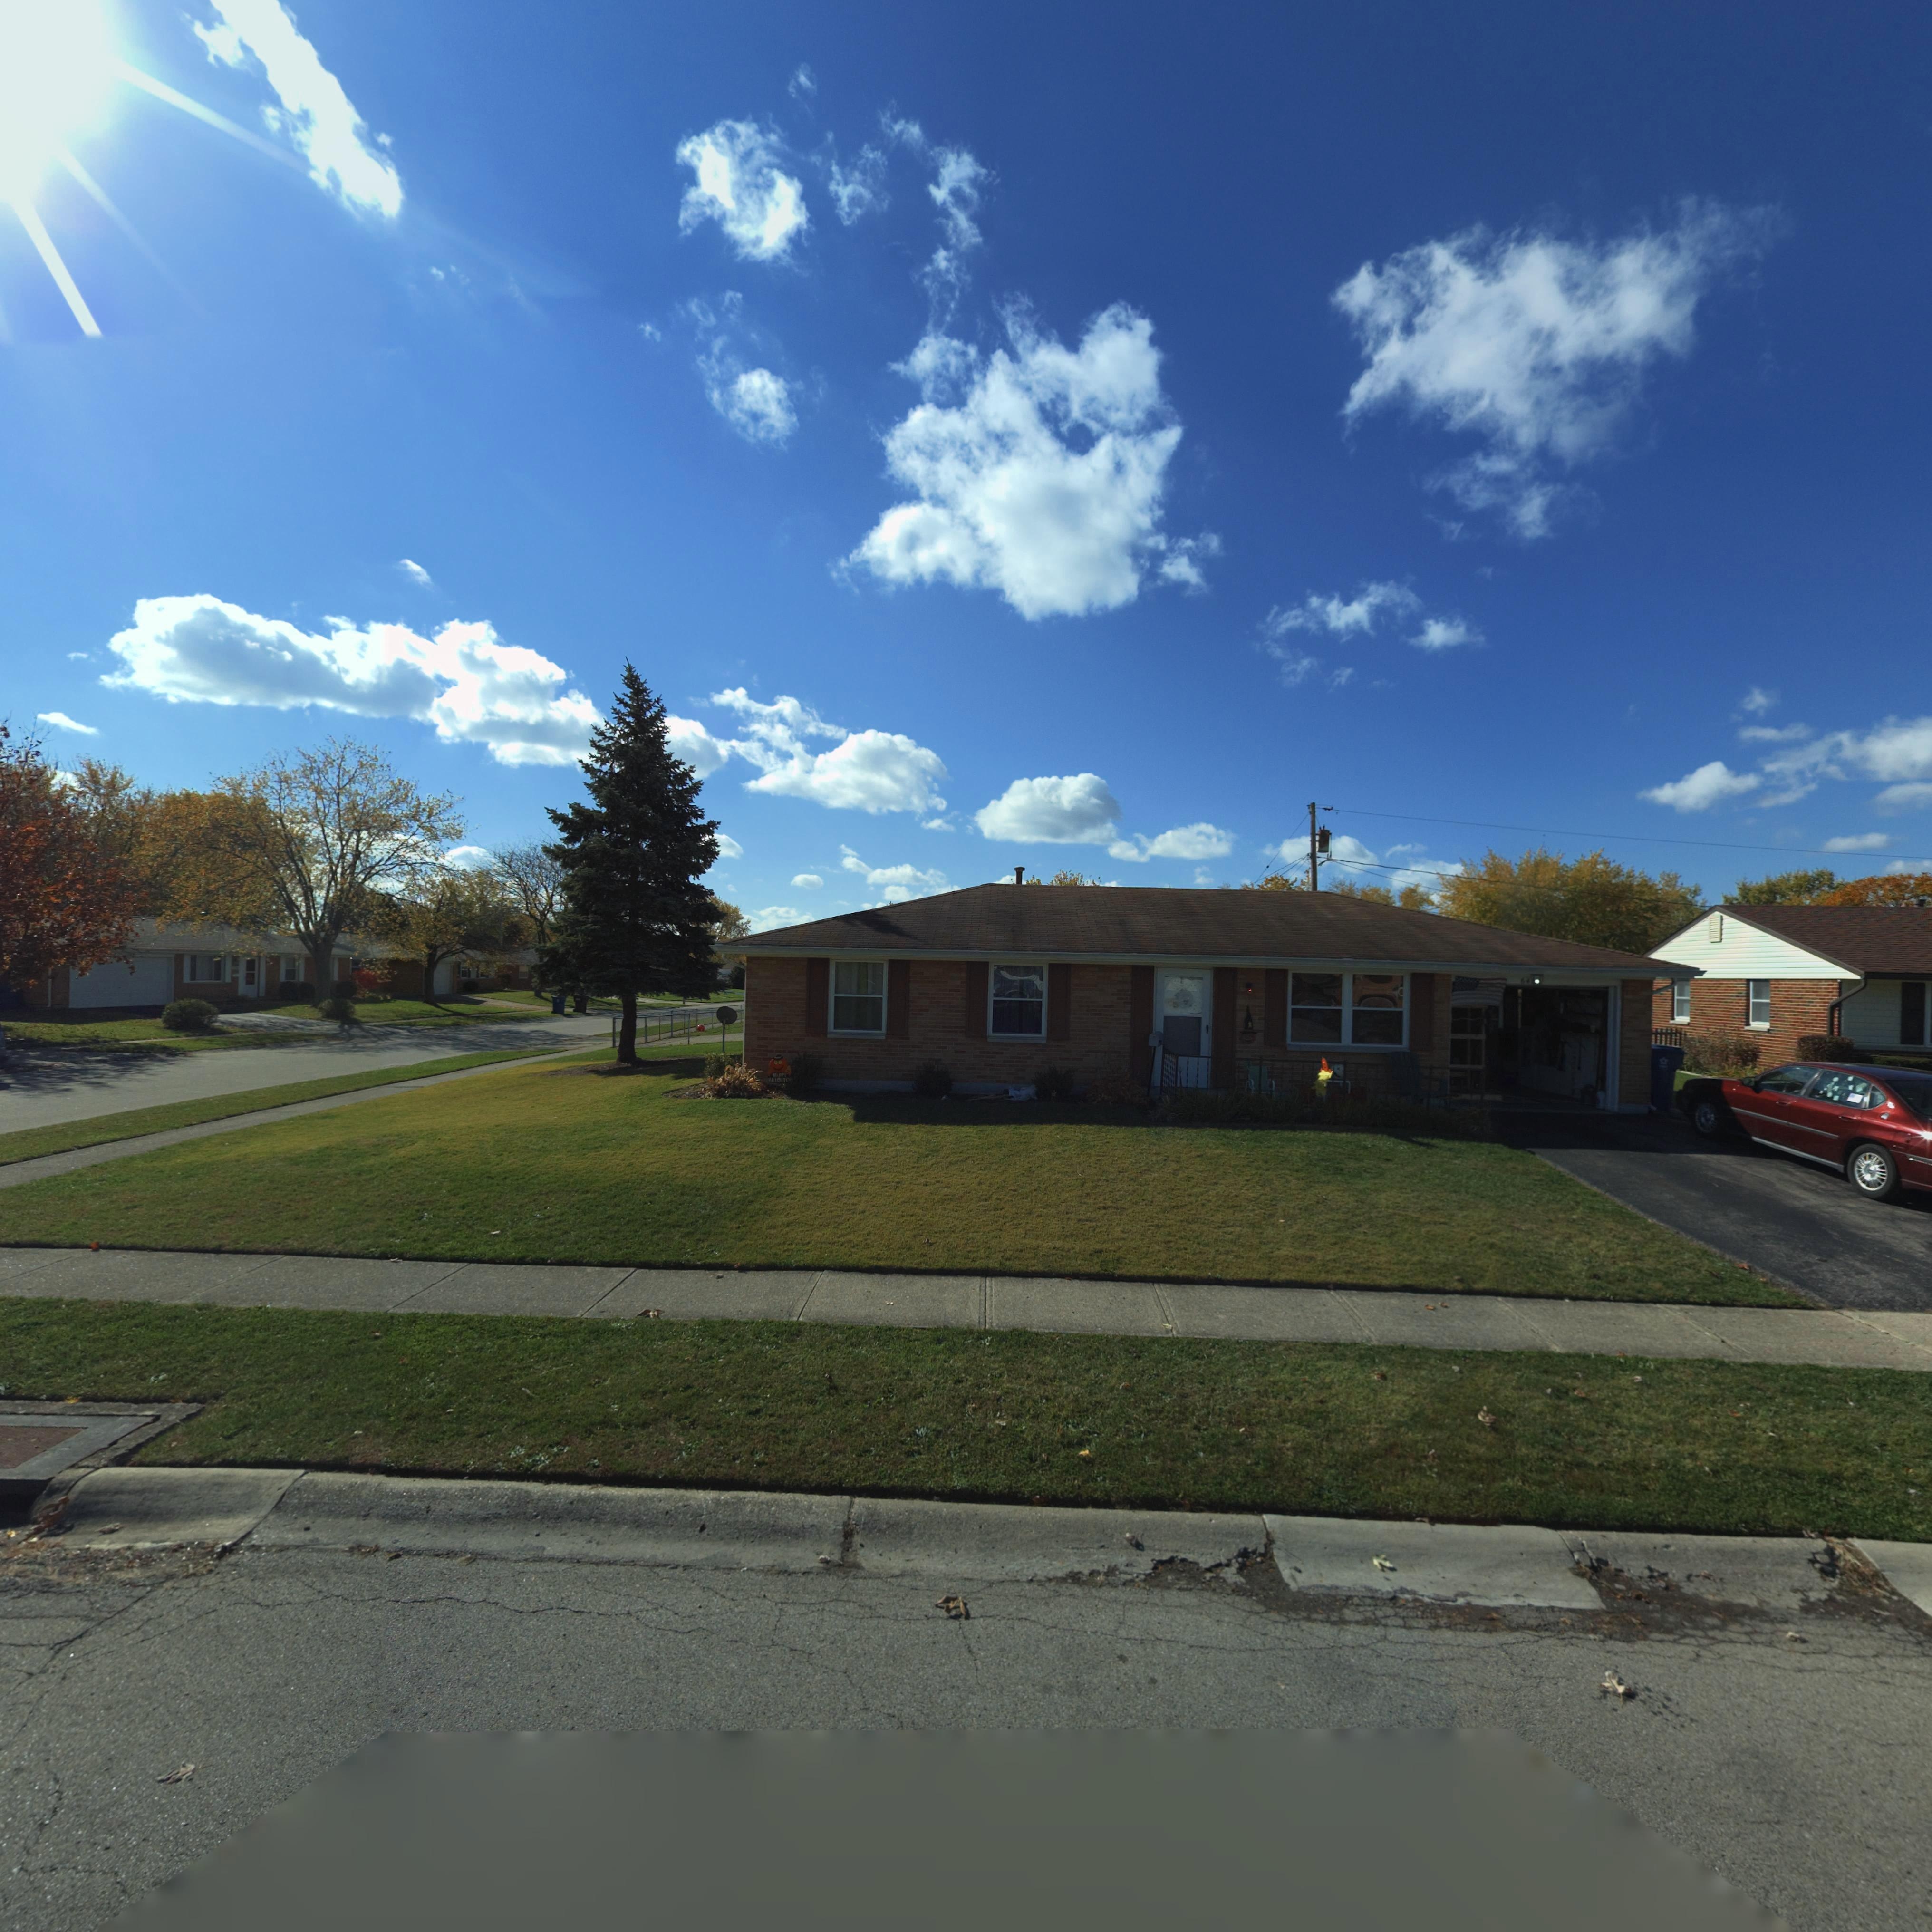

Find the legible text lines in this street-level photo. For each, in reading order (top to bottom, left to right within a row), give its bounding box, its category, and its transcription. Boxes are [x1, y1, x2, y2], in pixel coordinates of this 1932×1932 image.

[1519, 976, 1531, 985] StreetNumber: 64